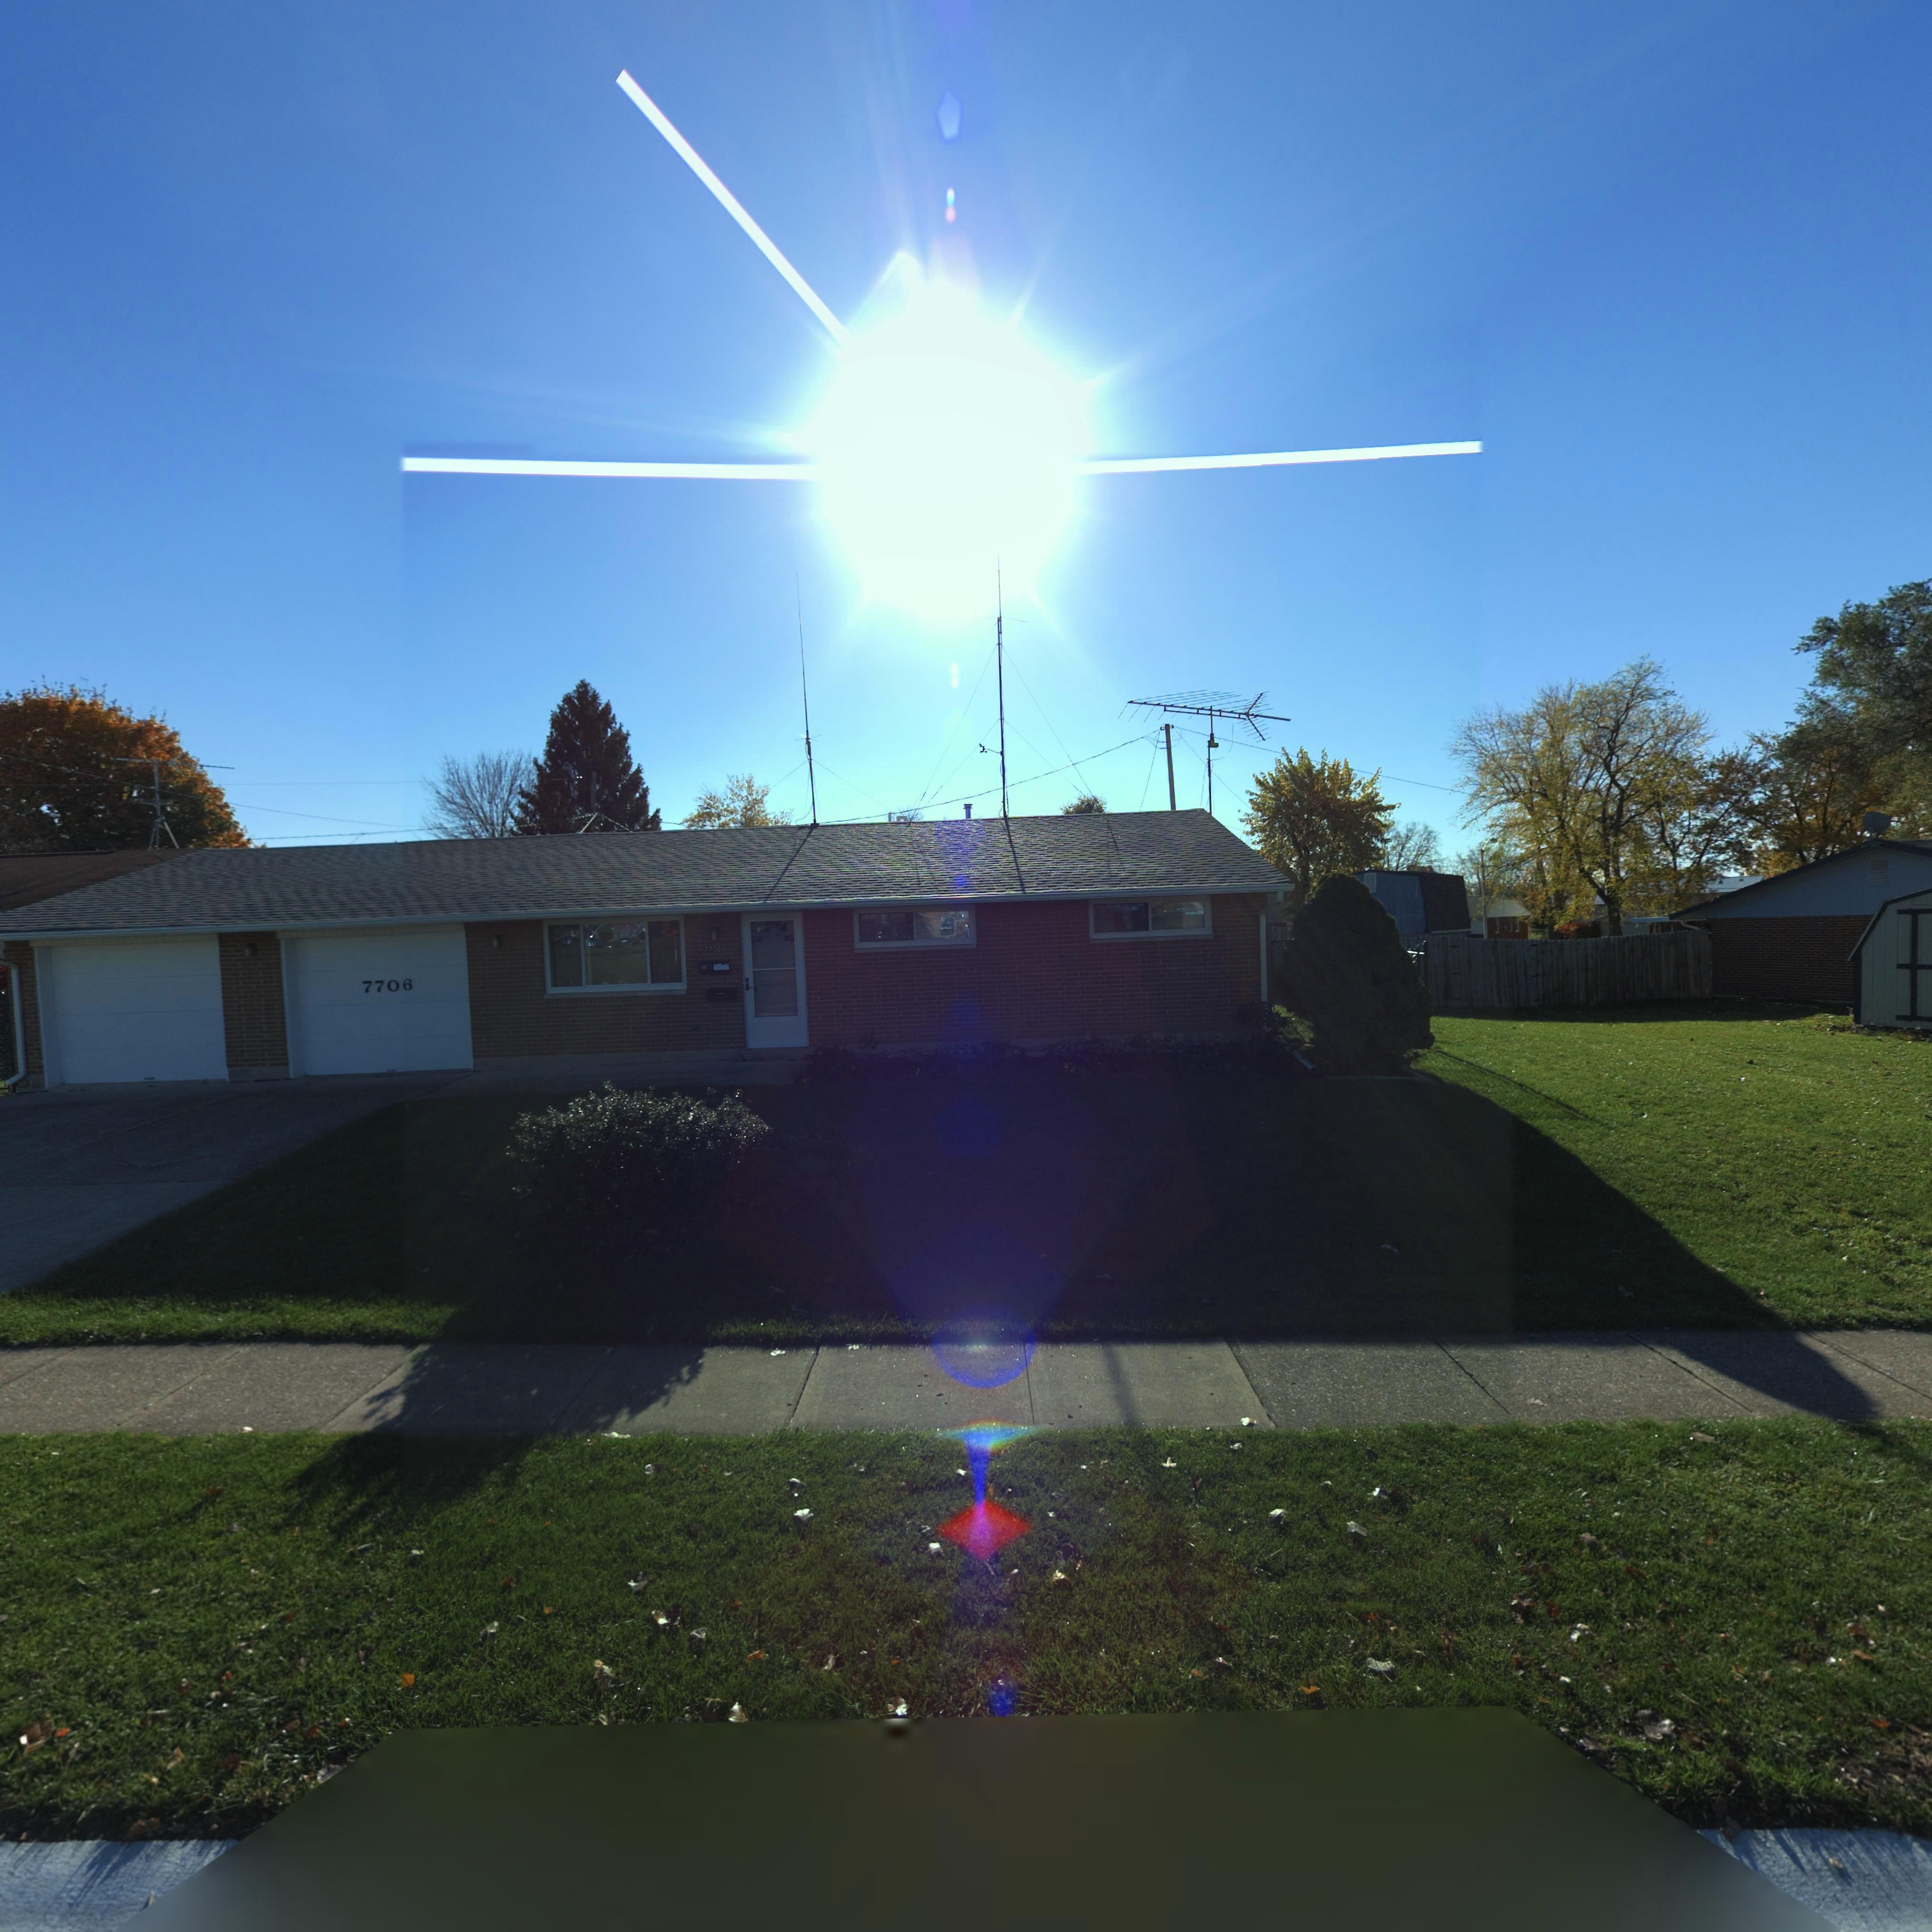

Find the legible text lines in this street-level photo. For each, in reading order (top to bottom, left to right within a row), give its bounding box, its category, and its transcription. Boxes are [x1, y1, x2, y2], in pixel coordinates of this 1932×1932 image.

[703, 945, 722, 954] StreetNumber: 7706
[361, 977, 415, 995] StreetNumber: 7706